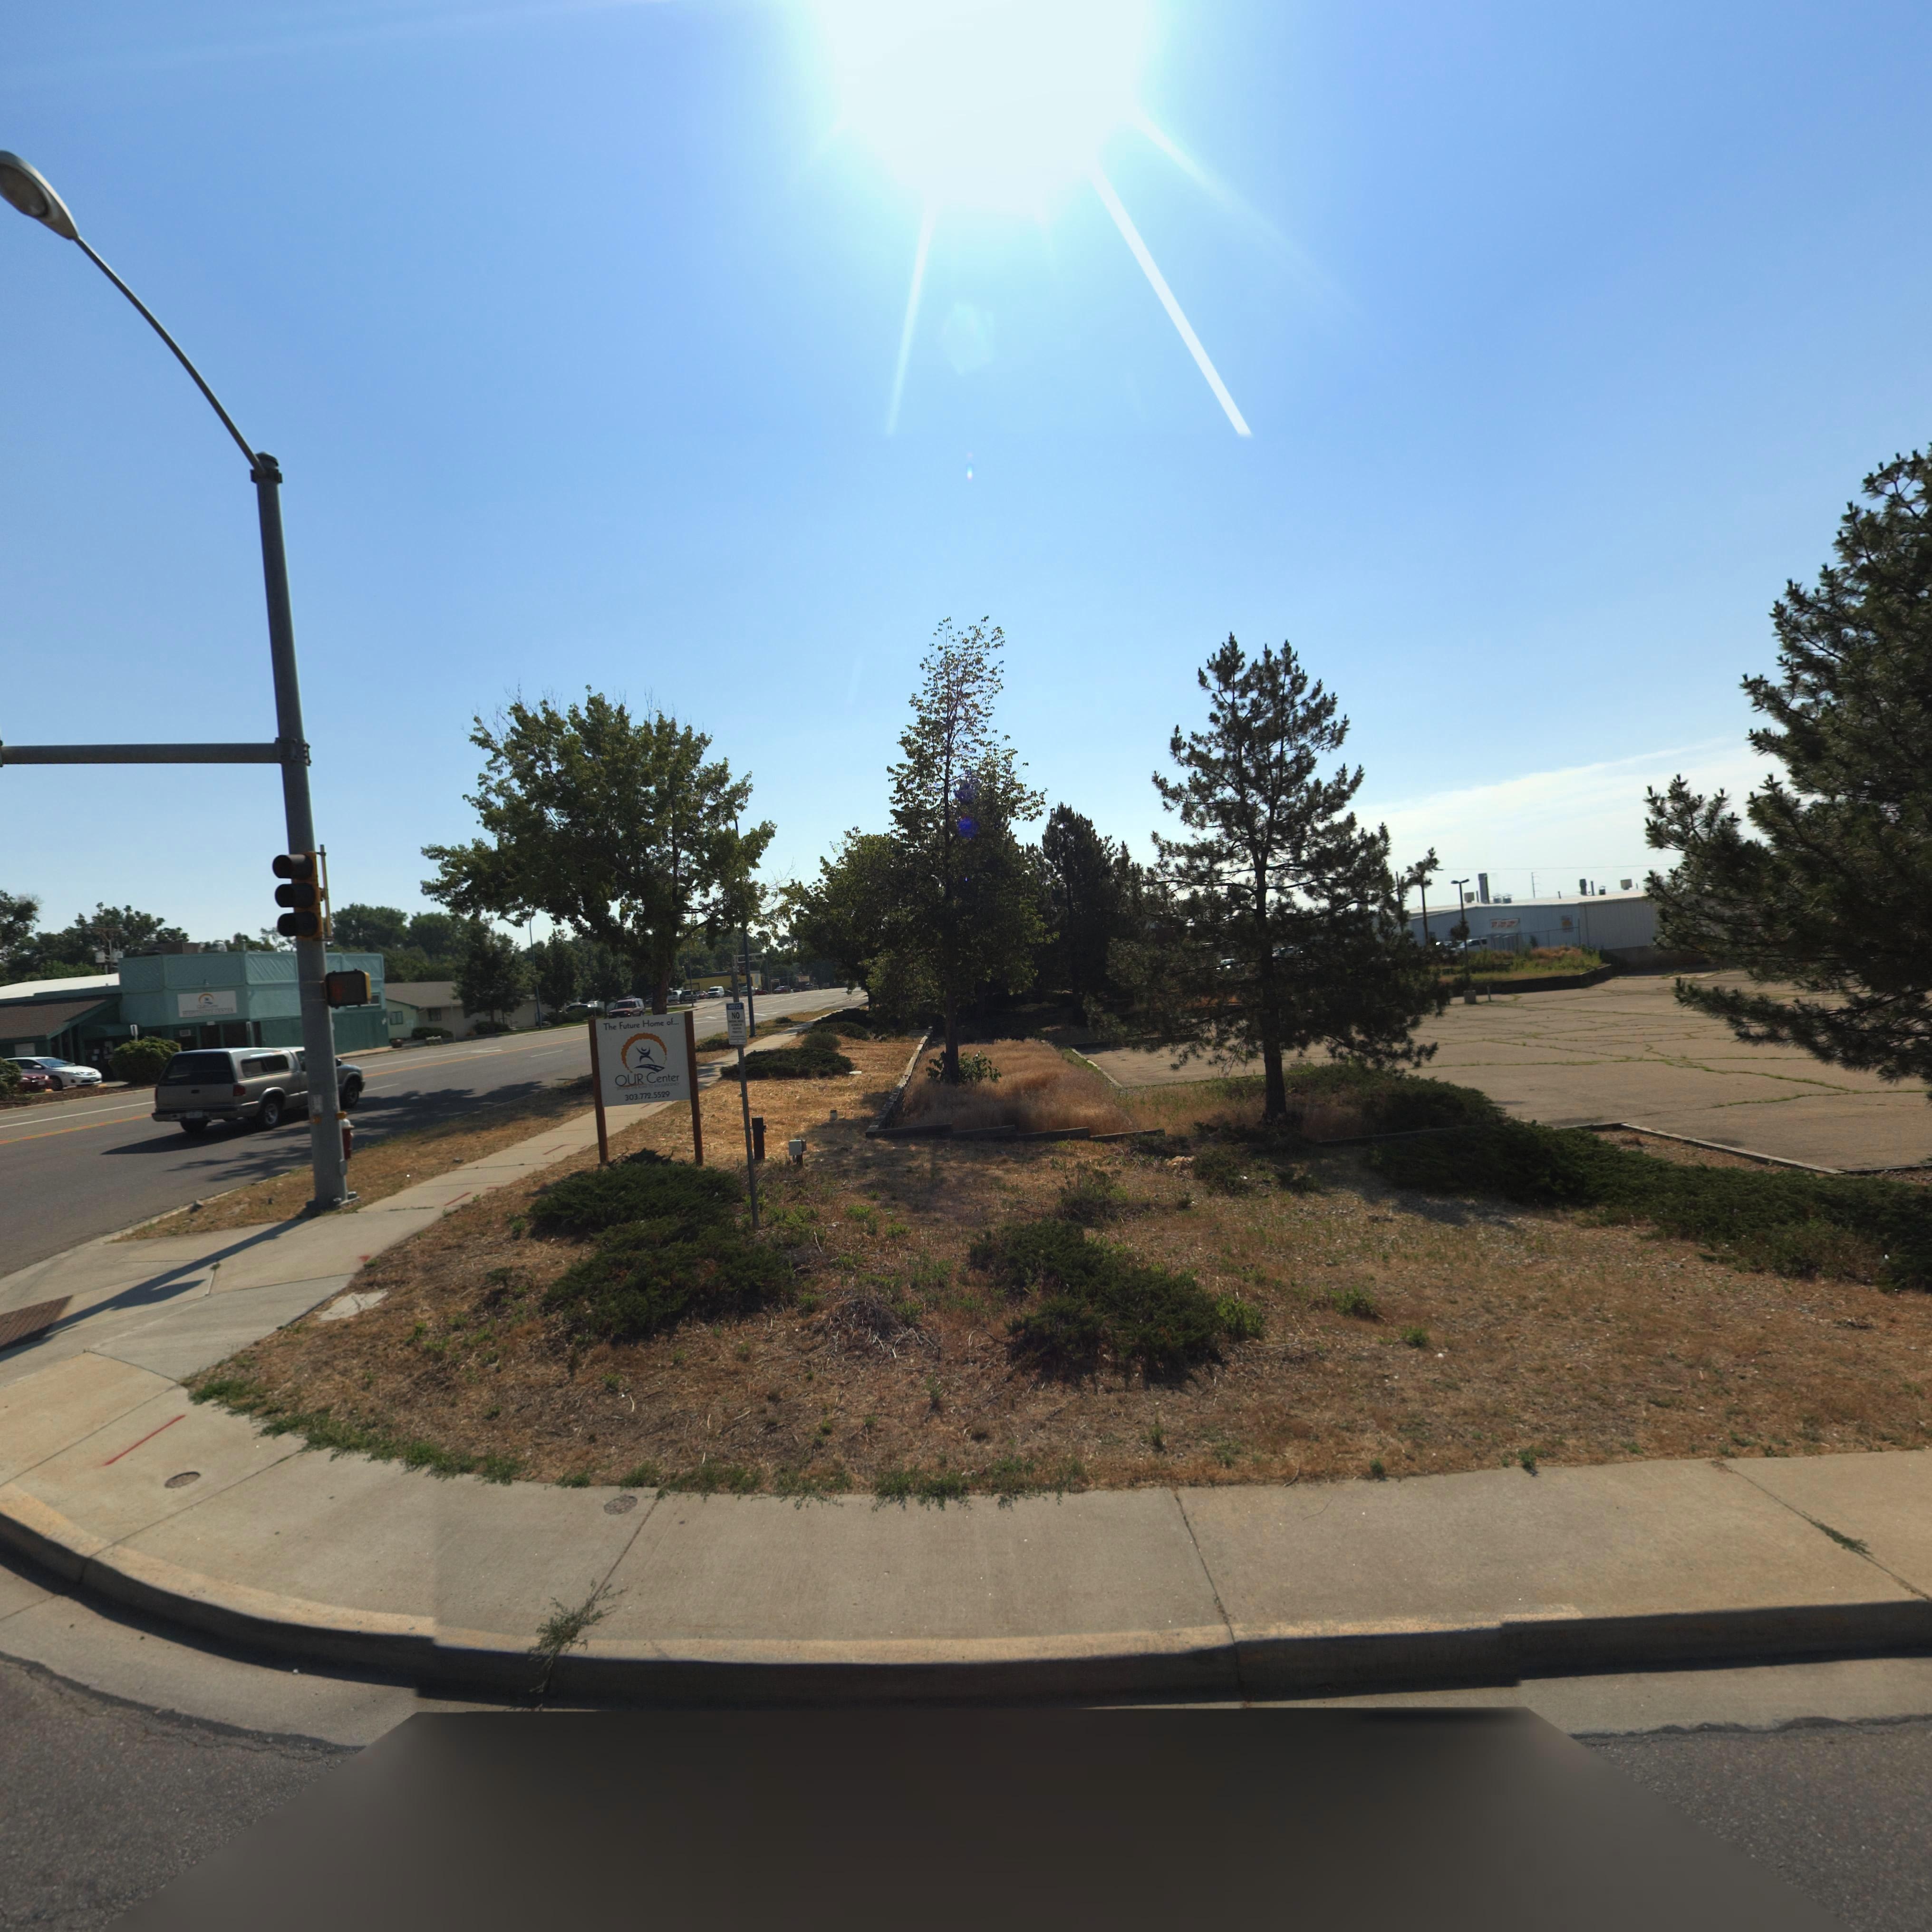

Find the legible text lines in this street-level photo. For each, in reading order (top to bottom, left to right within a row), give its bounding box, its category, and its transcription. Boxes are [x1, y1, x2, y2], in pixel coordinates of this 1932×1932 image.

[614, 1072, 680, 1086] BusinessName: OUR Center